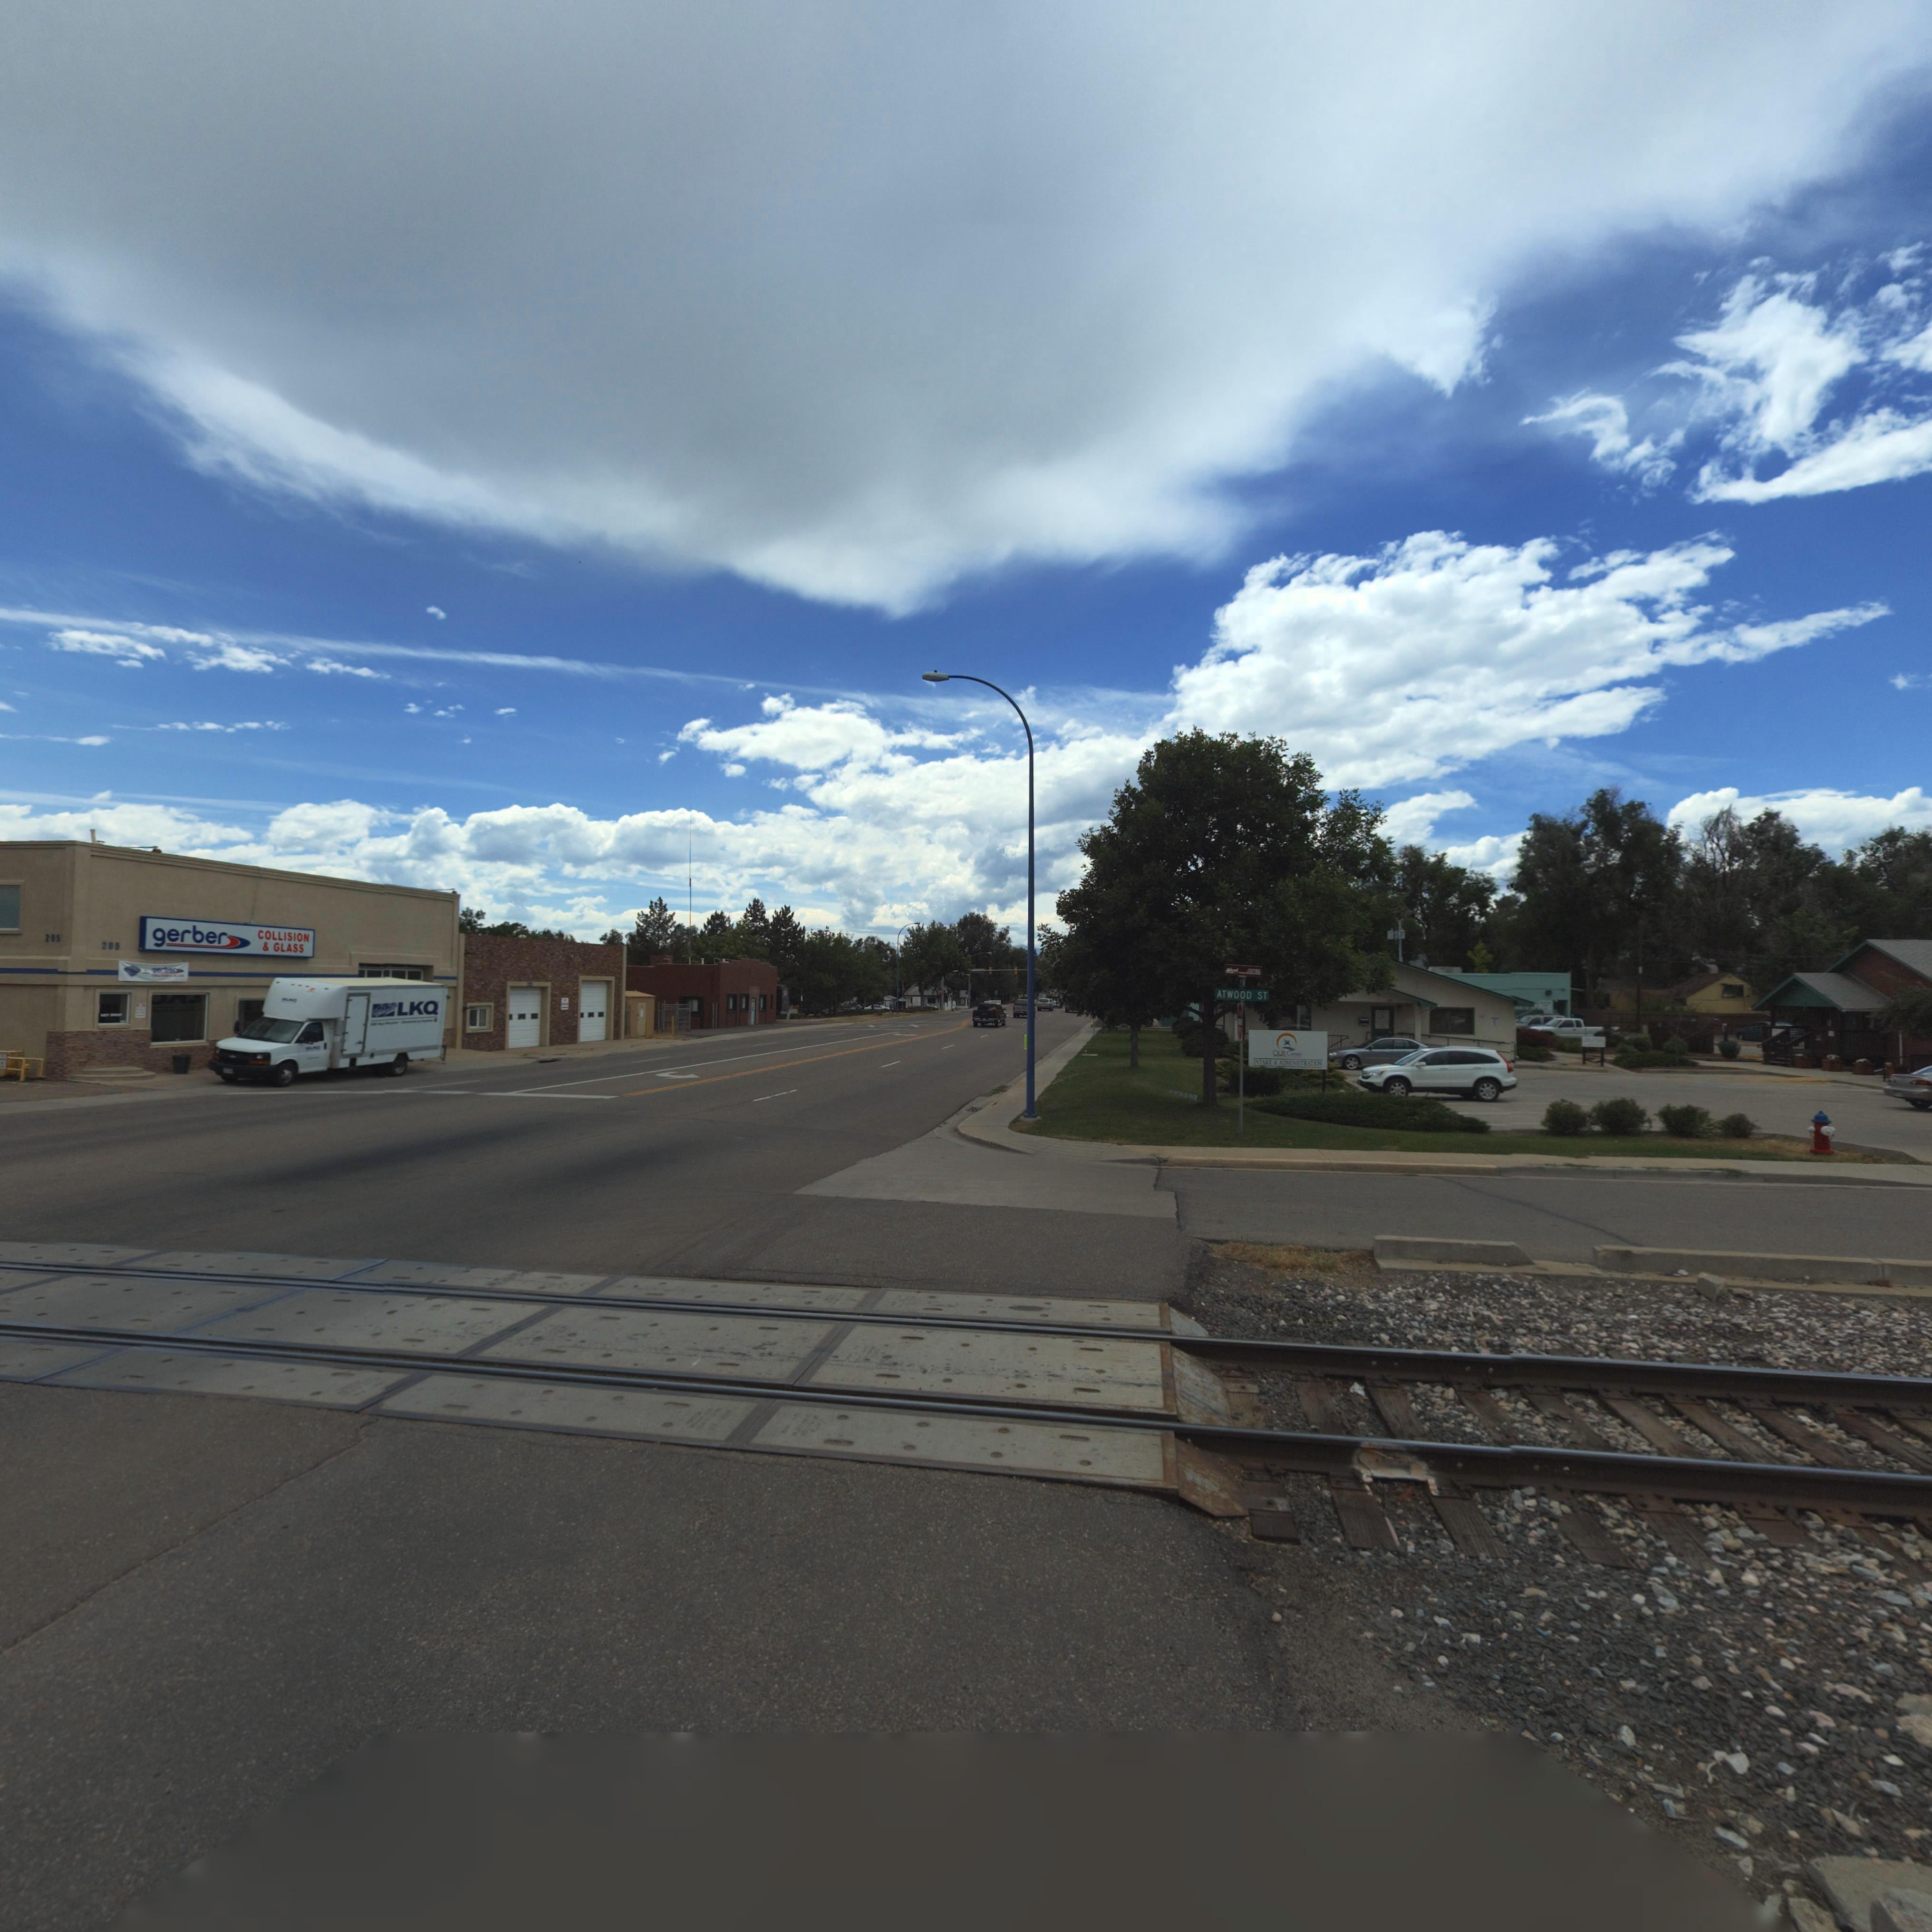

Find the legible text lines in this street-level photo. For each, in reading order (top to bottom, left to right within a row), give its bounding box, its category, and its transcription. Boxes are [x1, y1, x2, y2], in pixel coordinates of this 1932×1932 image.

[44, 933, 61, 942] StreetNumber: 205
[152, 925, 228, 948] BusinessName: gerber
[257, 929, 309, 942] BusinessName: COLLISION
[101, 941, 120, 950] StreetNumber: 205
[262, 941, 304, 953] BusinessName: & GLASS
[1217, 989, 1267, 1000] StreetName: ATWOOD ST
[1272, 1049, 1303, 1056] BusinessName: OUR Center
[1253, 1059, 1323, 1066] None: INTAKE & ADMINISTRATION